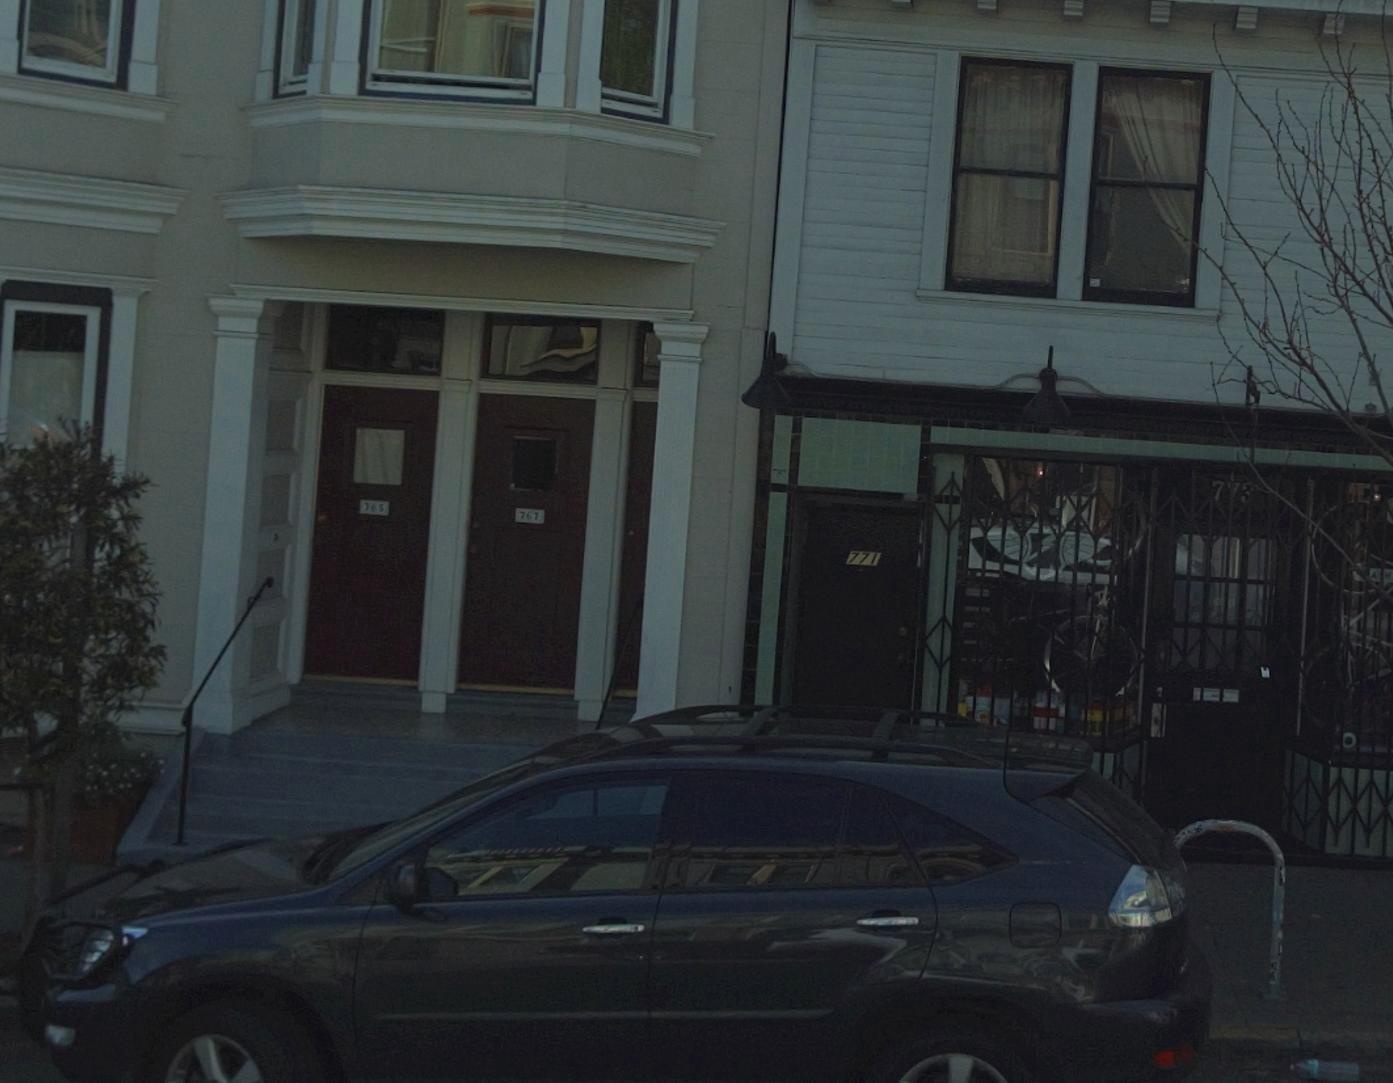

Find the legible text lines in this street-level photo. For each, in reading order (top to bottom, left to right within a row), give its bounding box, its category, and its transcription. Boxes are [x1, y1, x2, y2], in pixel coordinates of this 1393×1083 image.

[362, 501, 385, 513] StreetNumber: 765
[516, 509, 542, 523] StreetNumber: 767
[849, 551, 878, 565] StreetNumber: 771